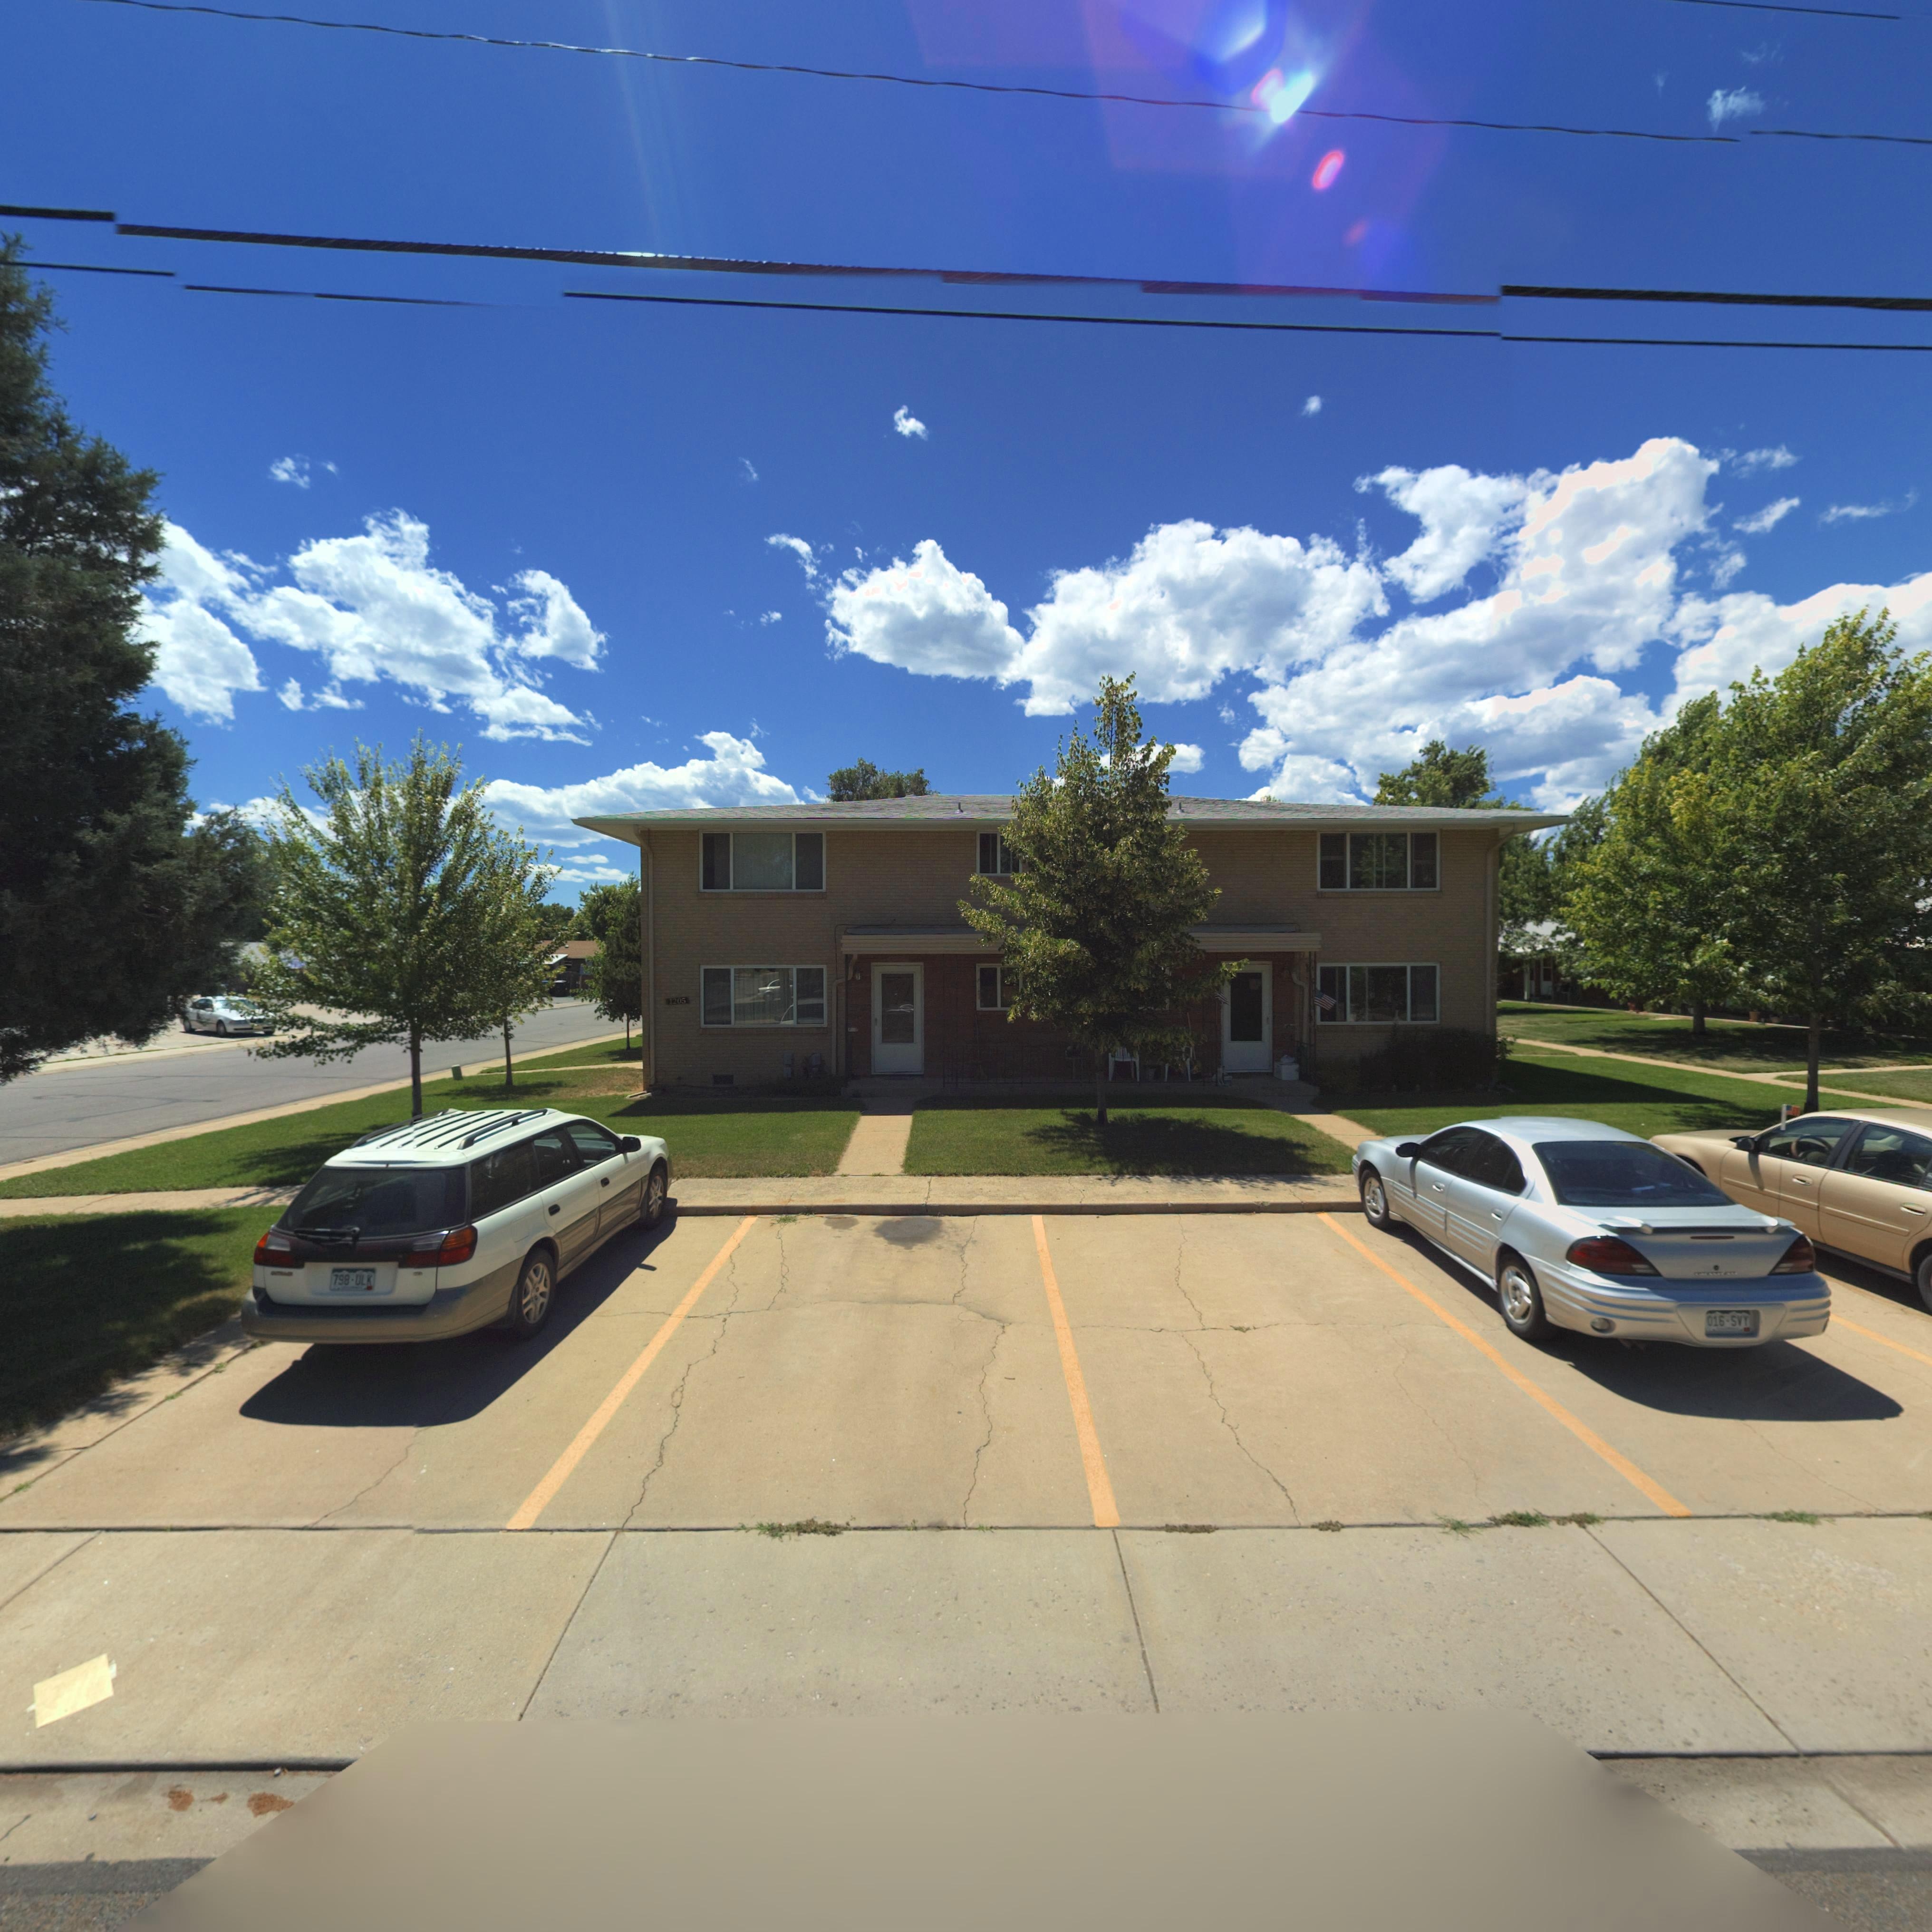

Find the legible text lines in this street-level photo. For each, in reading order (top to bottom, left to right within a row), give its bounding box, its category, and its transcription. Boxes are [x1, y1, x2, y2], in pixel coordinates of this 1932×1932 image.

[669, 998, 686, 1004] StreetNumber: 1205